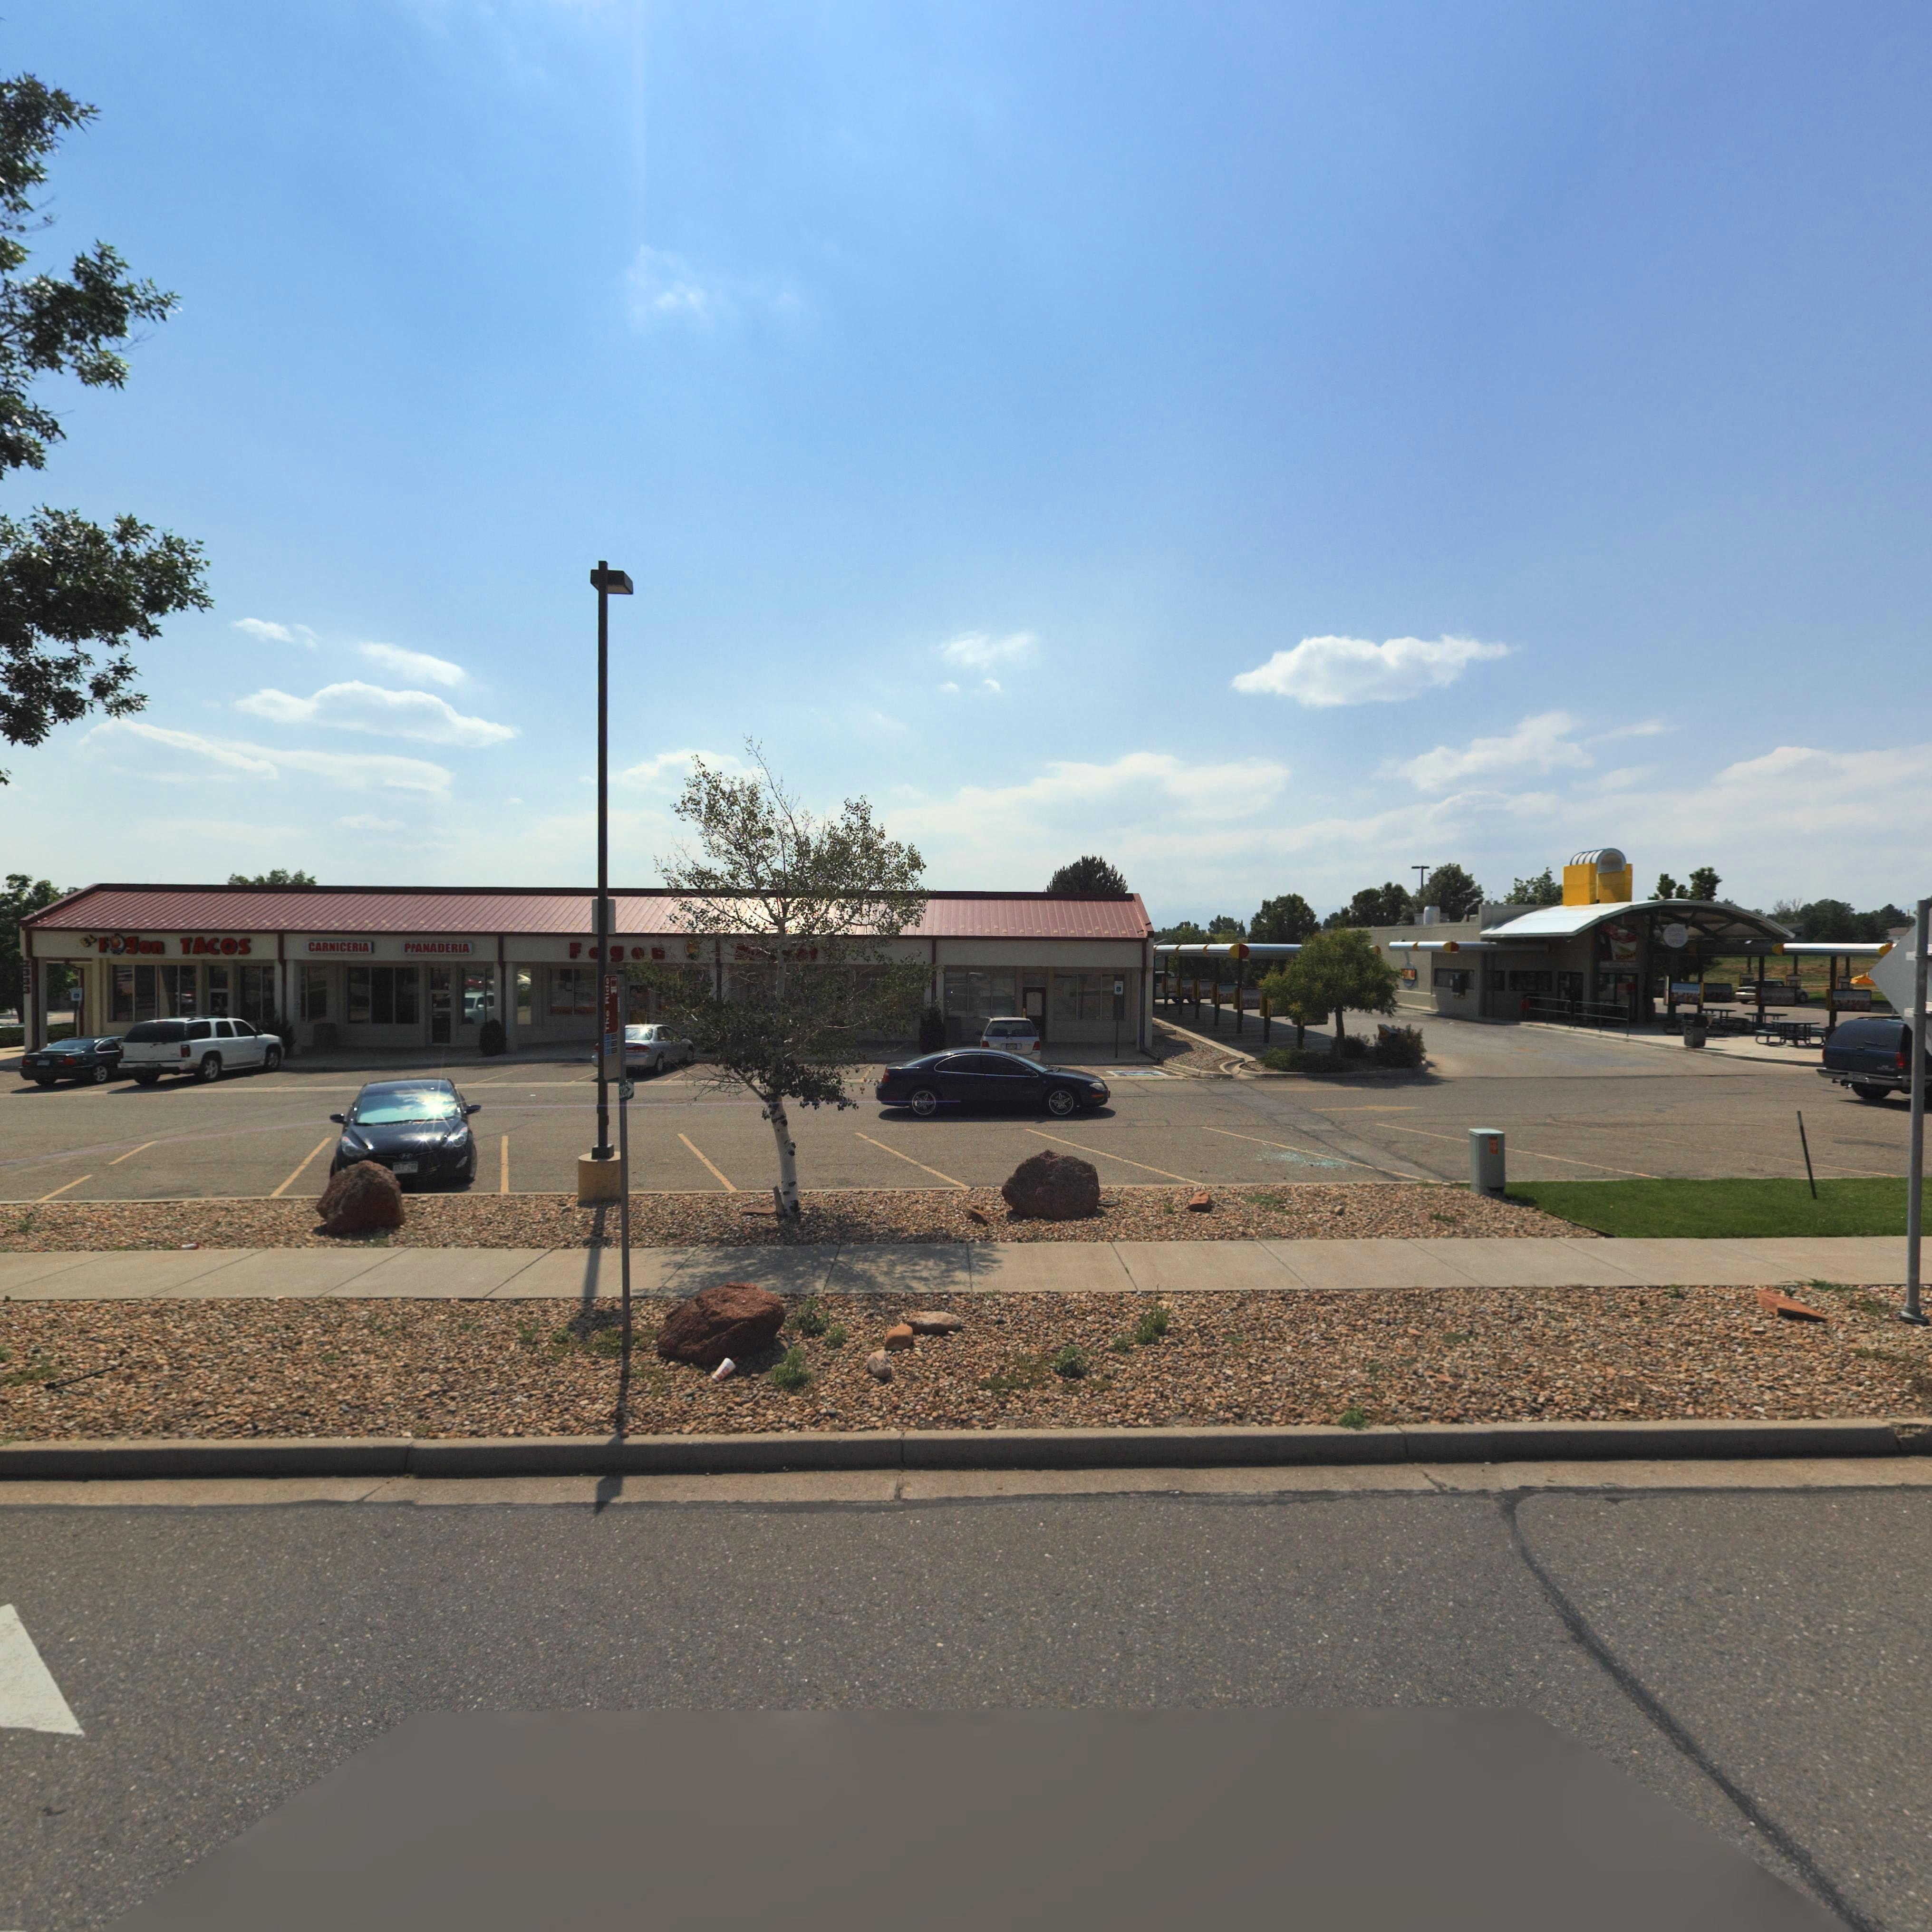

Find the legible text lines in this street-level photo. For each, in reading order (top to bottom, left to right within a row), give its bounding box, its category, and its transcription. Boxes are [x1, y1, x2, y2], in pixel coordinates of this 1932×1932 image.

[79, 933, 96, 948] BusinessName: EL
[97, 932, 251, 956] BusinessName: F*gon TACOS
[568, 942, 666, 963] BusinessName: F*go*
[21, 959, 30, 995] StreetNumber: 2333